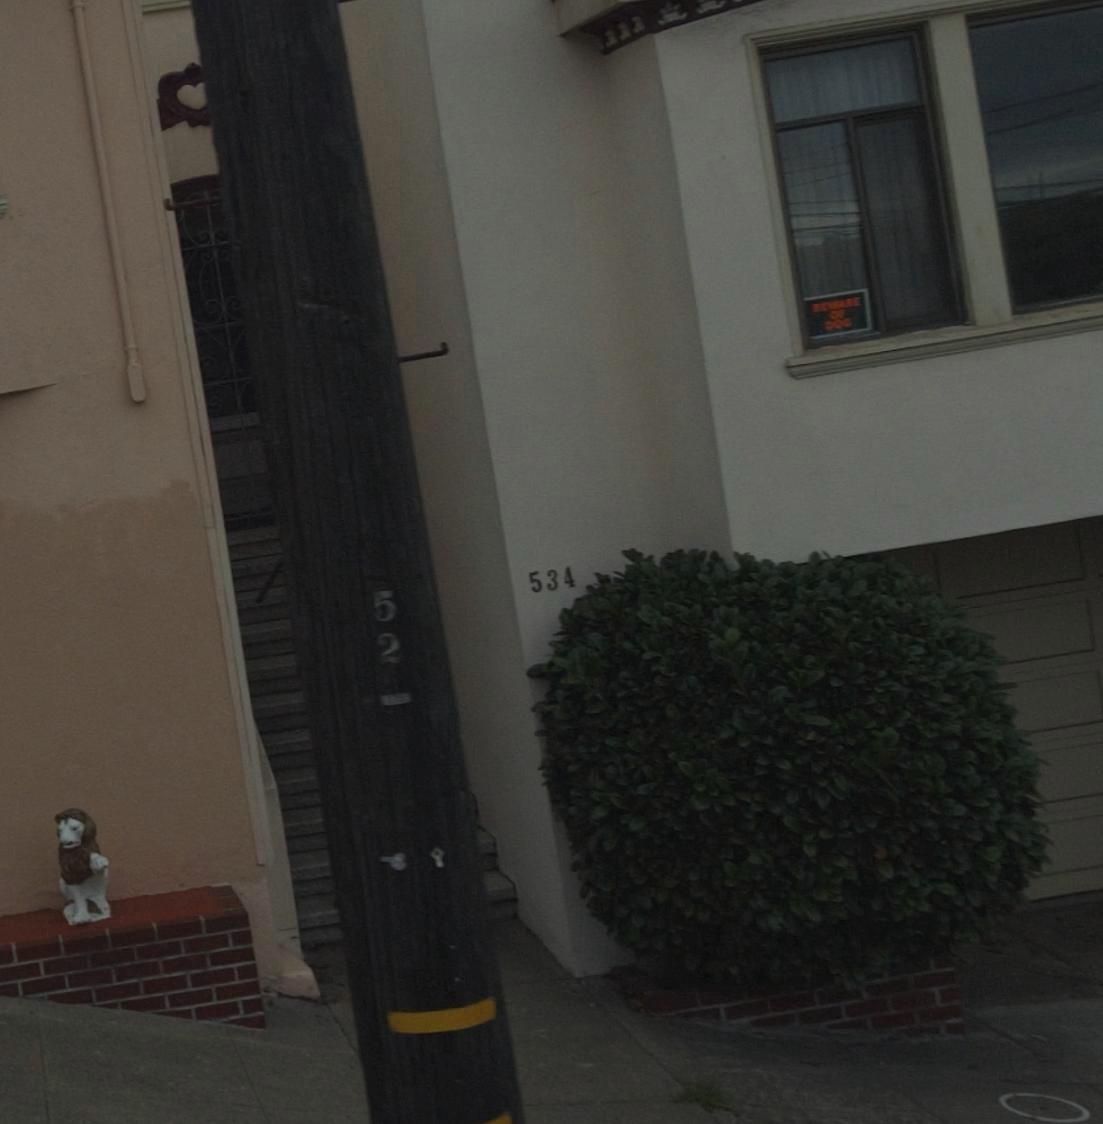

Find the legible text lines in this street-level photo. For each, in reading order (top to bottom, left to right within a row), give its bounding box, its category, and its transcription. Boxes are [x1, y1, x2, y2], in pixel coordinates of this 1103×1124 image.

[812, 296, 862, 313] None: BEWARE
[828, 308, 846, 321] None: OF
[823, 317, 852, 333] None: DOG
[527, 565, 577, 594] StreetNumber: 534
[371, 587, 405, 666] None: 52